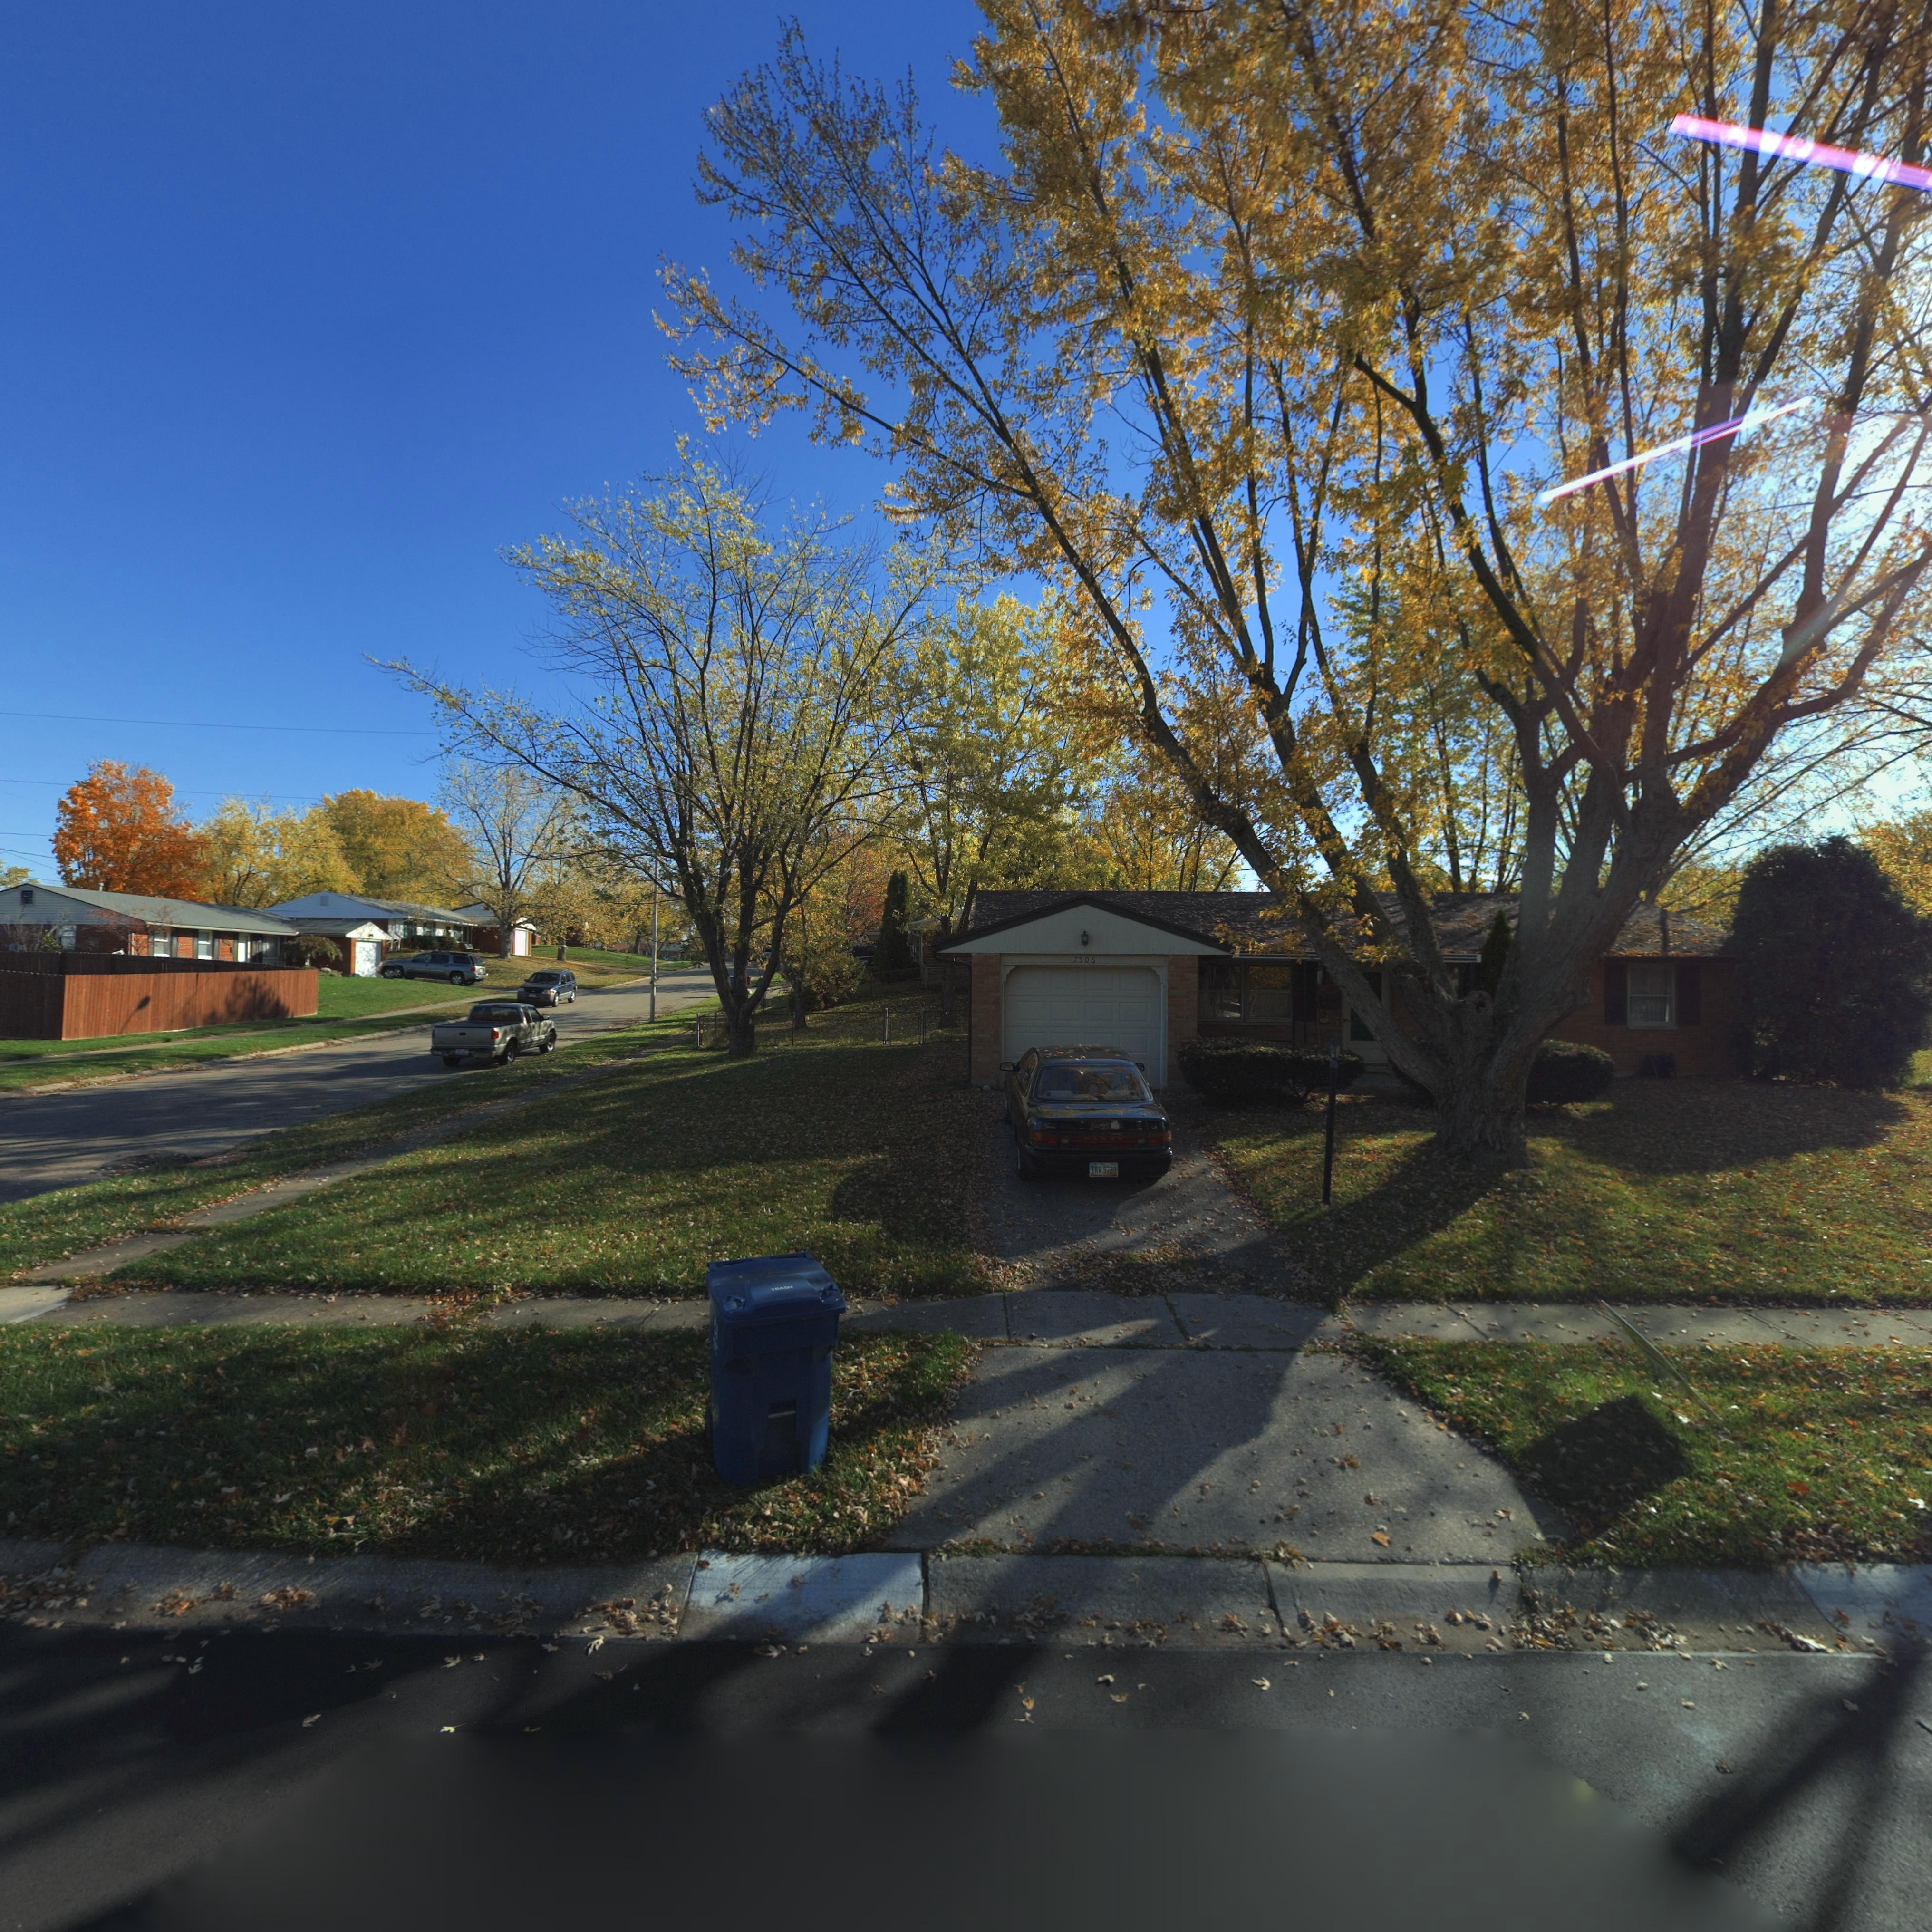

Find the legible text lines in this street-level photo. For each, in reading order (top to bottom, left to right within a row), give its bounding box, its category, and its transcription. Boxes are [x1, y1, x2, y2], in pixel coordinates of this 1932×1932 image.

[1073, 955, 1097, 964] StreetNumber: 7506